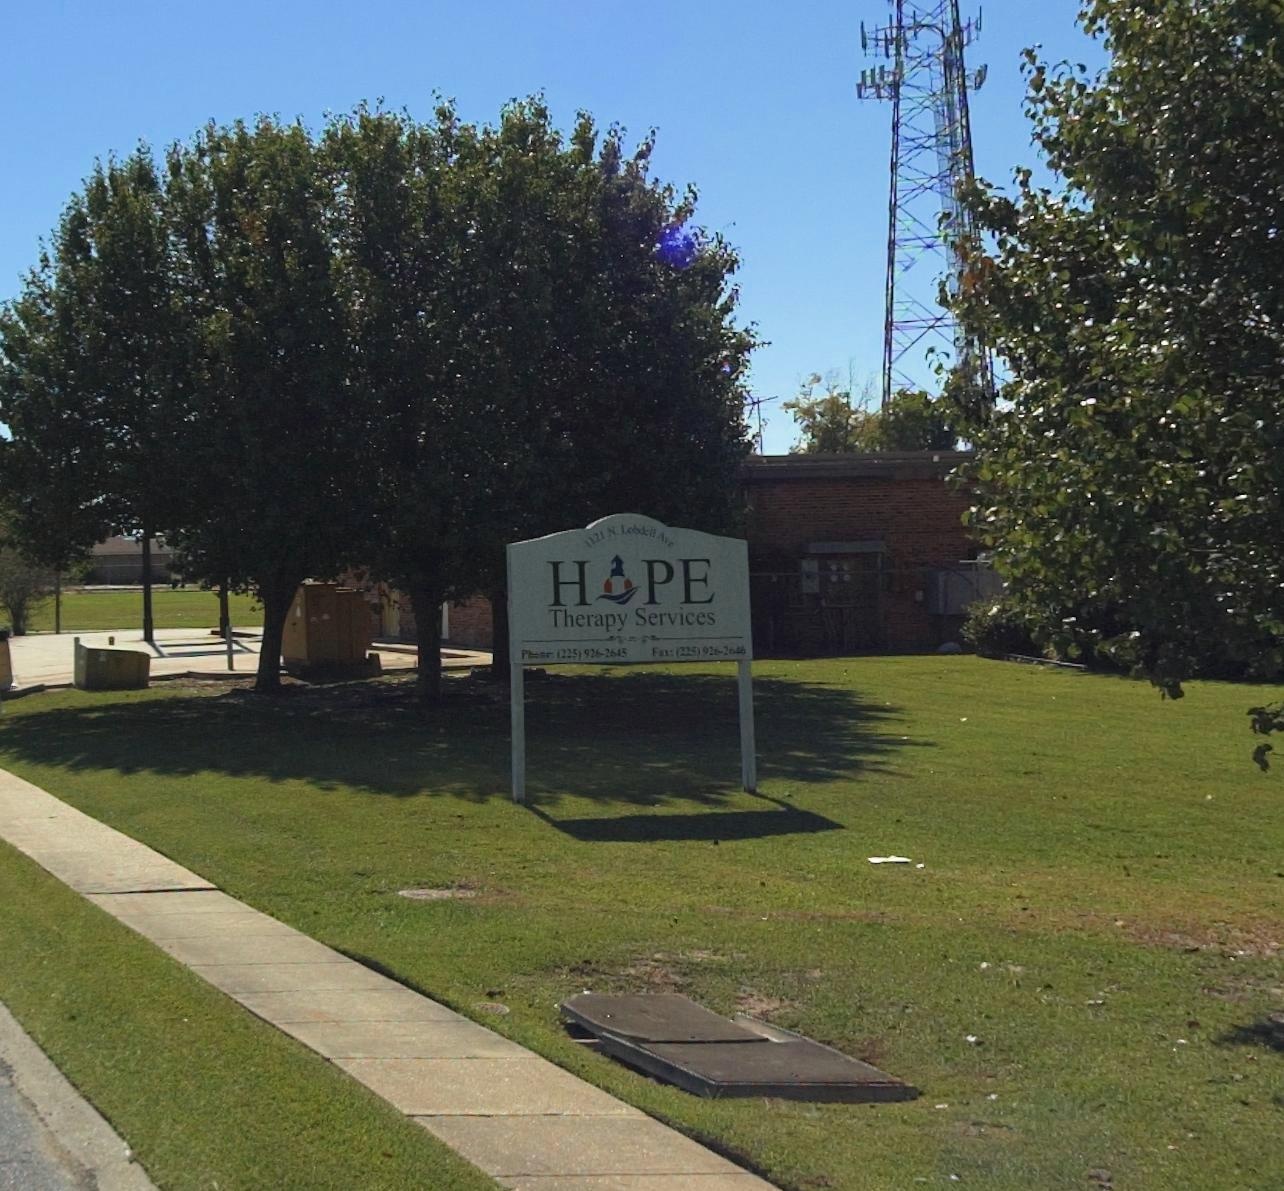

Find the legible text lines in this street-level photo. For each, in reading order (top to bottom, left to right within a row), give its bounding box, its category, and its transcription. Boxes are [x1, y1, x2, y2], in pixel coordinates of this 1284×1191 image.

[579, 525, 608, 552] StreetNumber: 1121
[603, 521, 677, 551] StreetName: N. Lobde*l Ave
[544, 557, 717, 609] BusinessName: H*PE
[545, 605, 718, 635] BusinessName: Therapy Services
[519, 647, 530, 663] None: p
[554, 645, 631, 662] None: (225) 926-2645
[649, 642, 750, 660] None: Fax: (225) 92*-26**